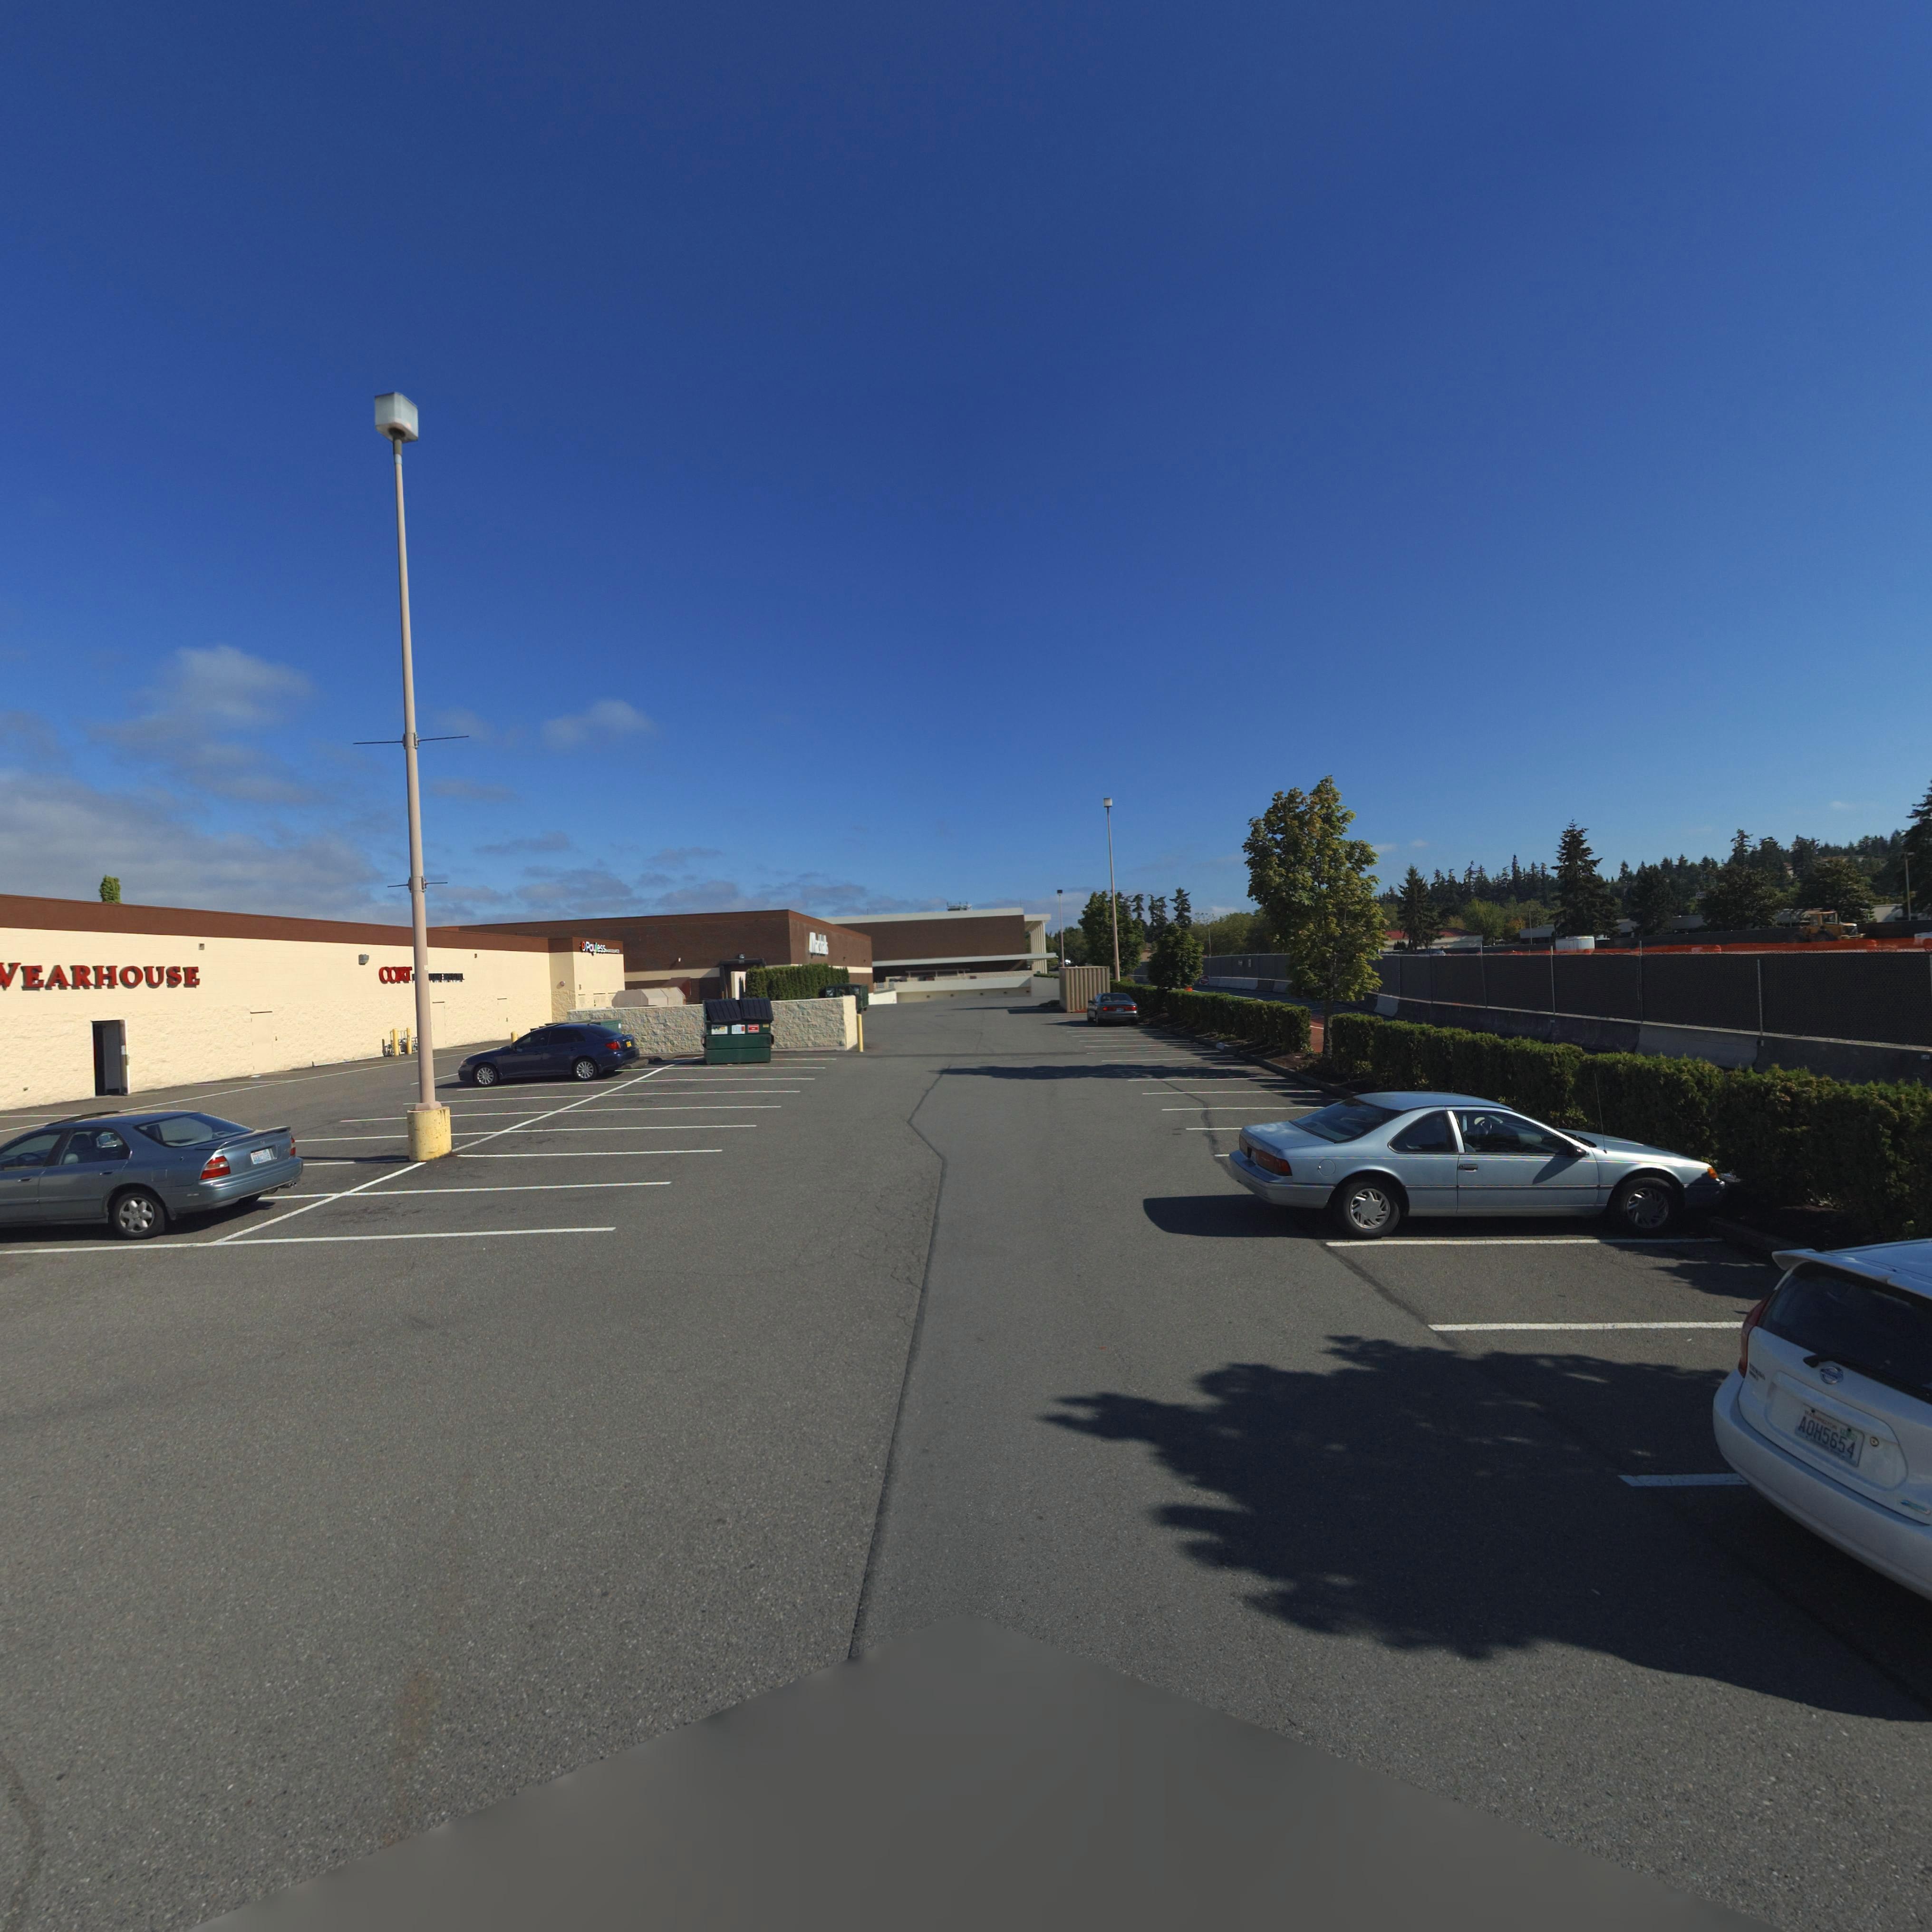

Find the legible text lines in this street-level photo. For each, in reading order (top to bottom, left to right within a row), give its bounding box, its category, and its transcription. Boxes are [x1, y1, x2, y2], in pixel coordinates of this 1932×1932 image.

[586, 940, 606, 952] BusinessName: Pa**ess
[0, 961, 205, 998] BusinessName: *EARHOUSE
[378, 963, 400, 983] BusinessName: CO